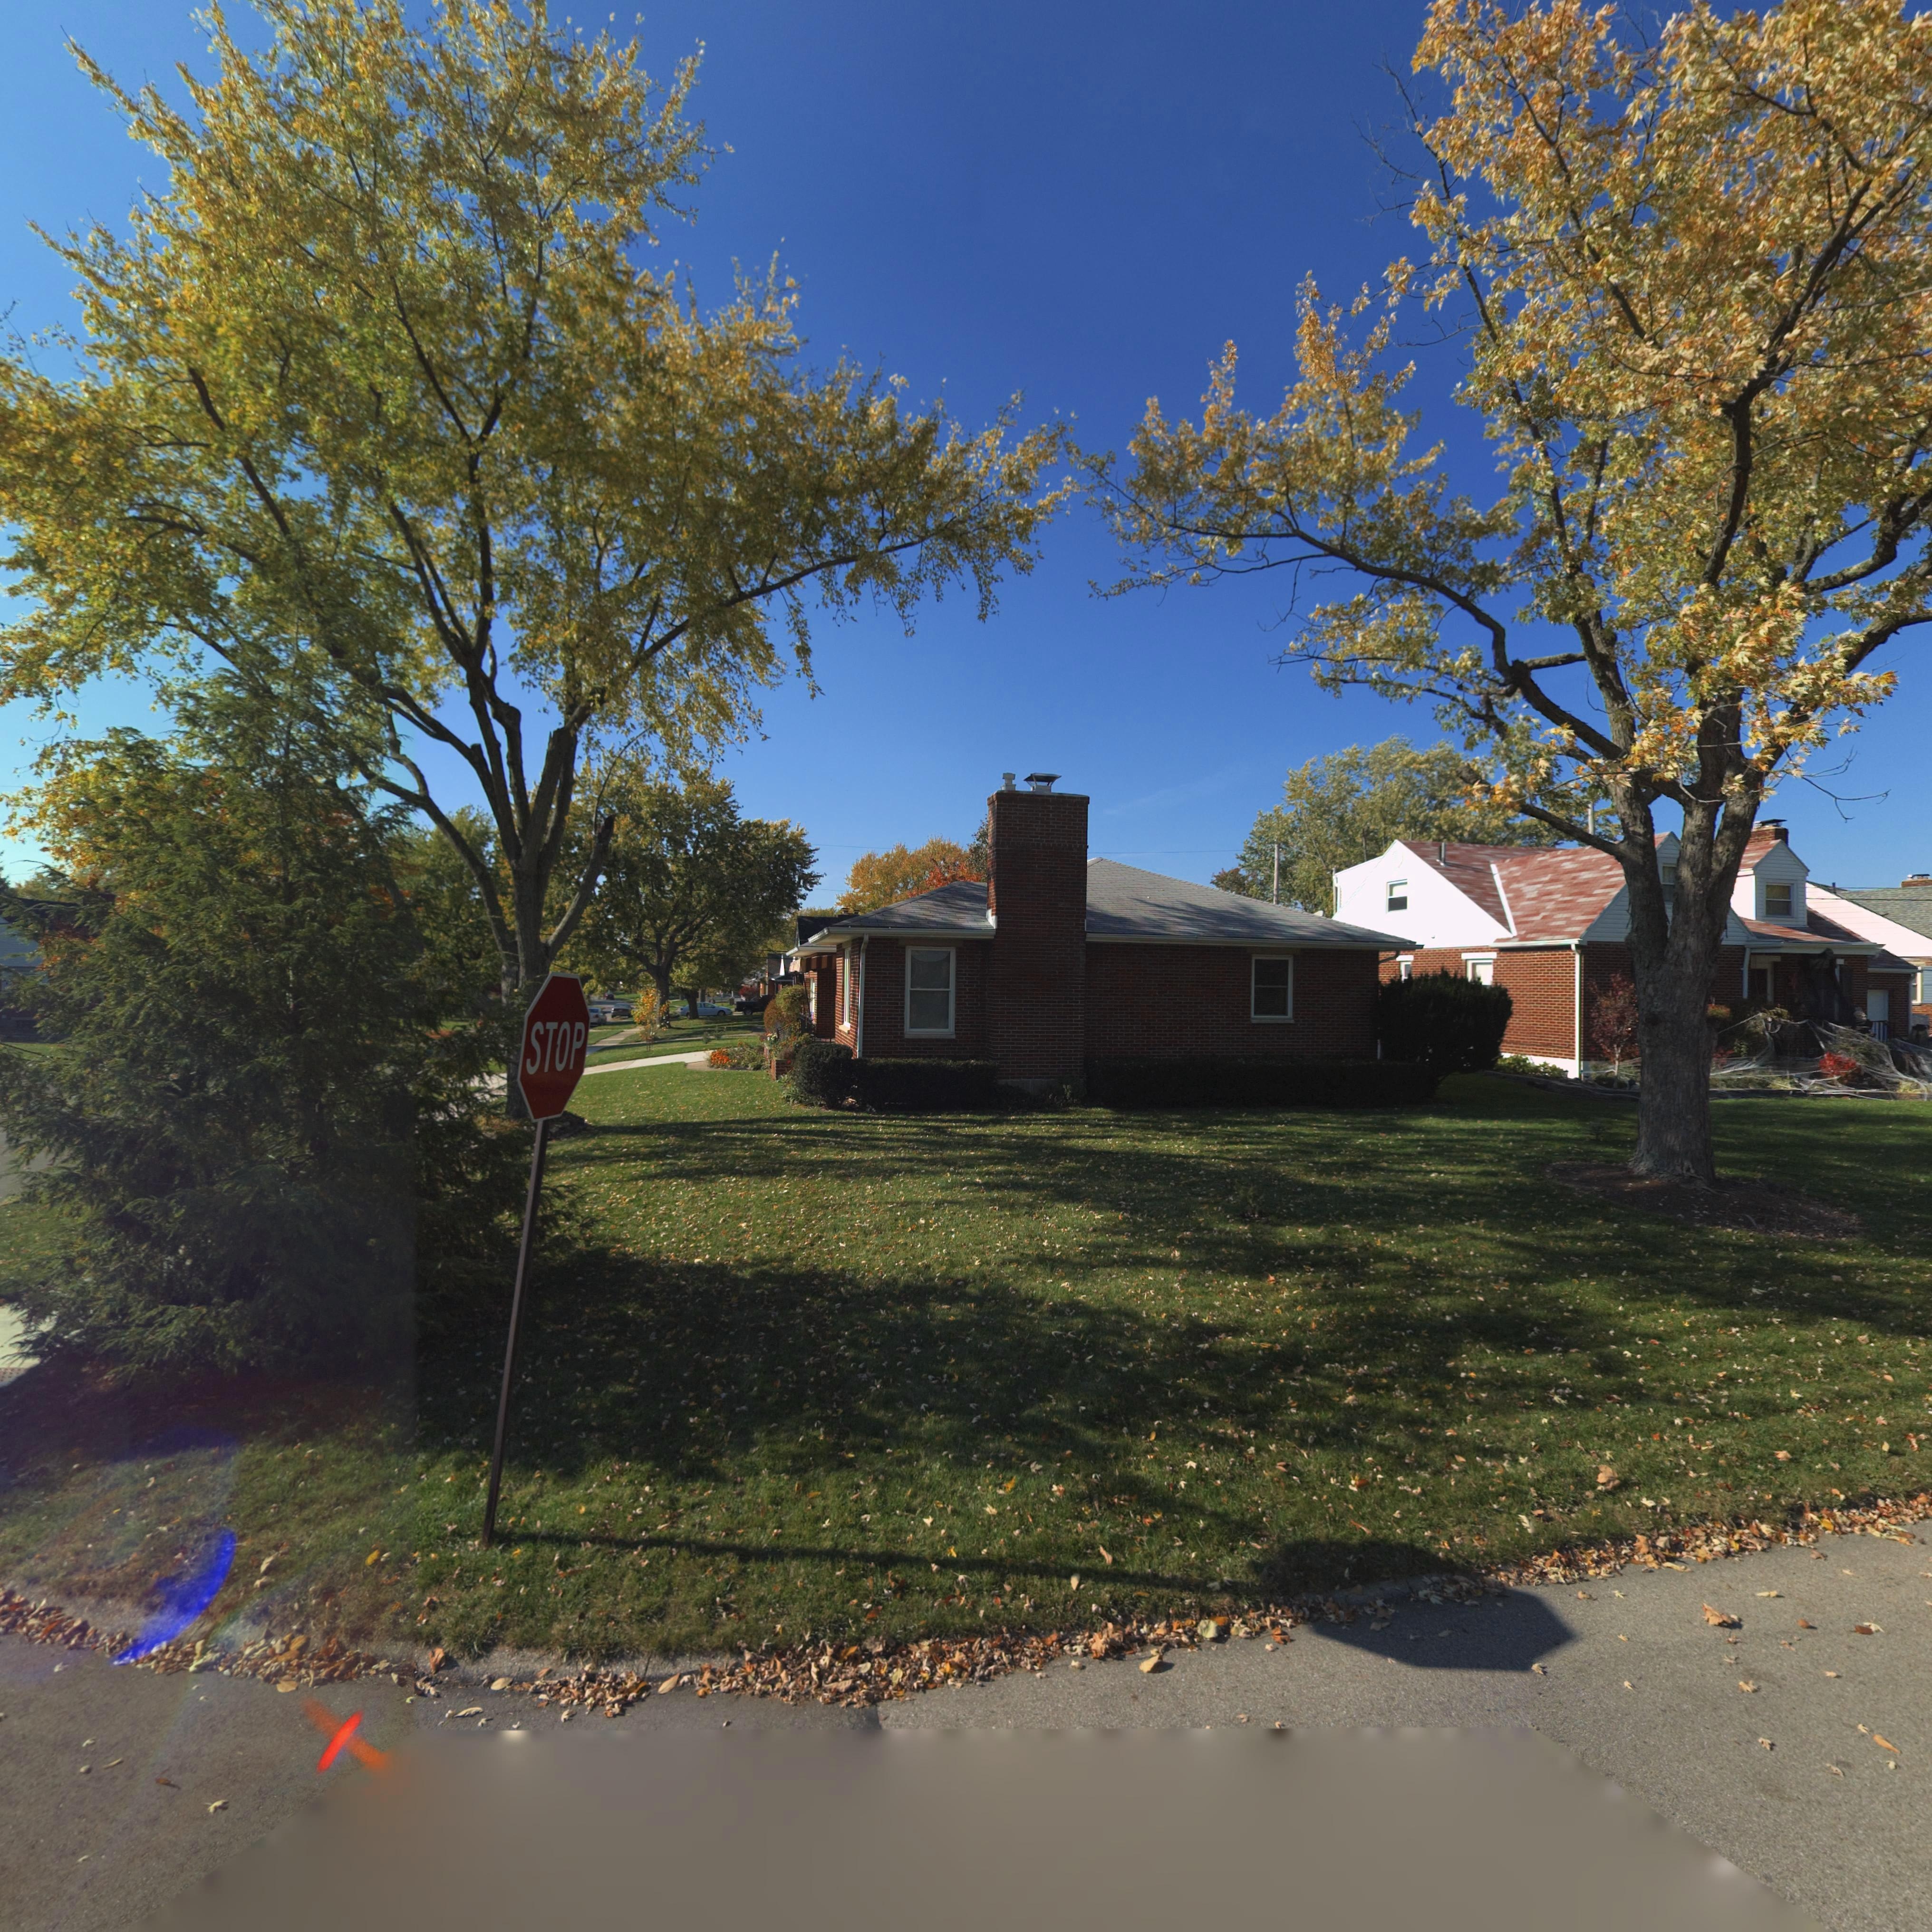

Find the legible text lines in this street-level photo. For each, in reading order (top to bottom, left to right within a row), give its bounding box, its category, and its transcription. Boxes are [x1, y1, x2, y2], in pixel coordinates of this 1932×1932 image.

[526, 1021, 586, 1075] None: STOP